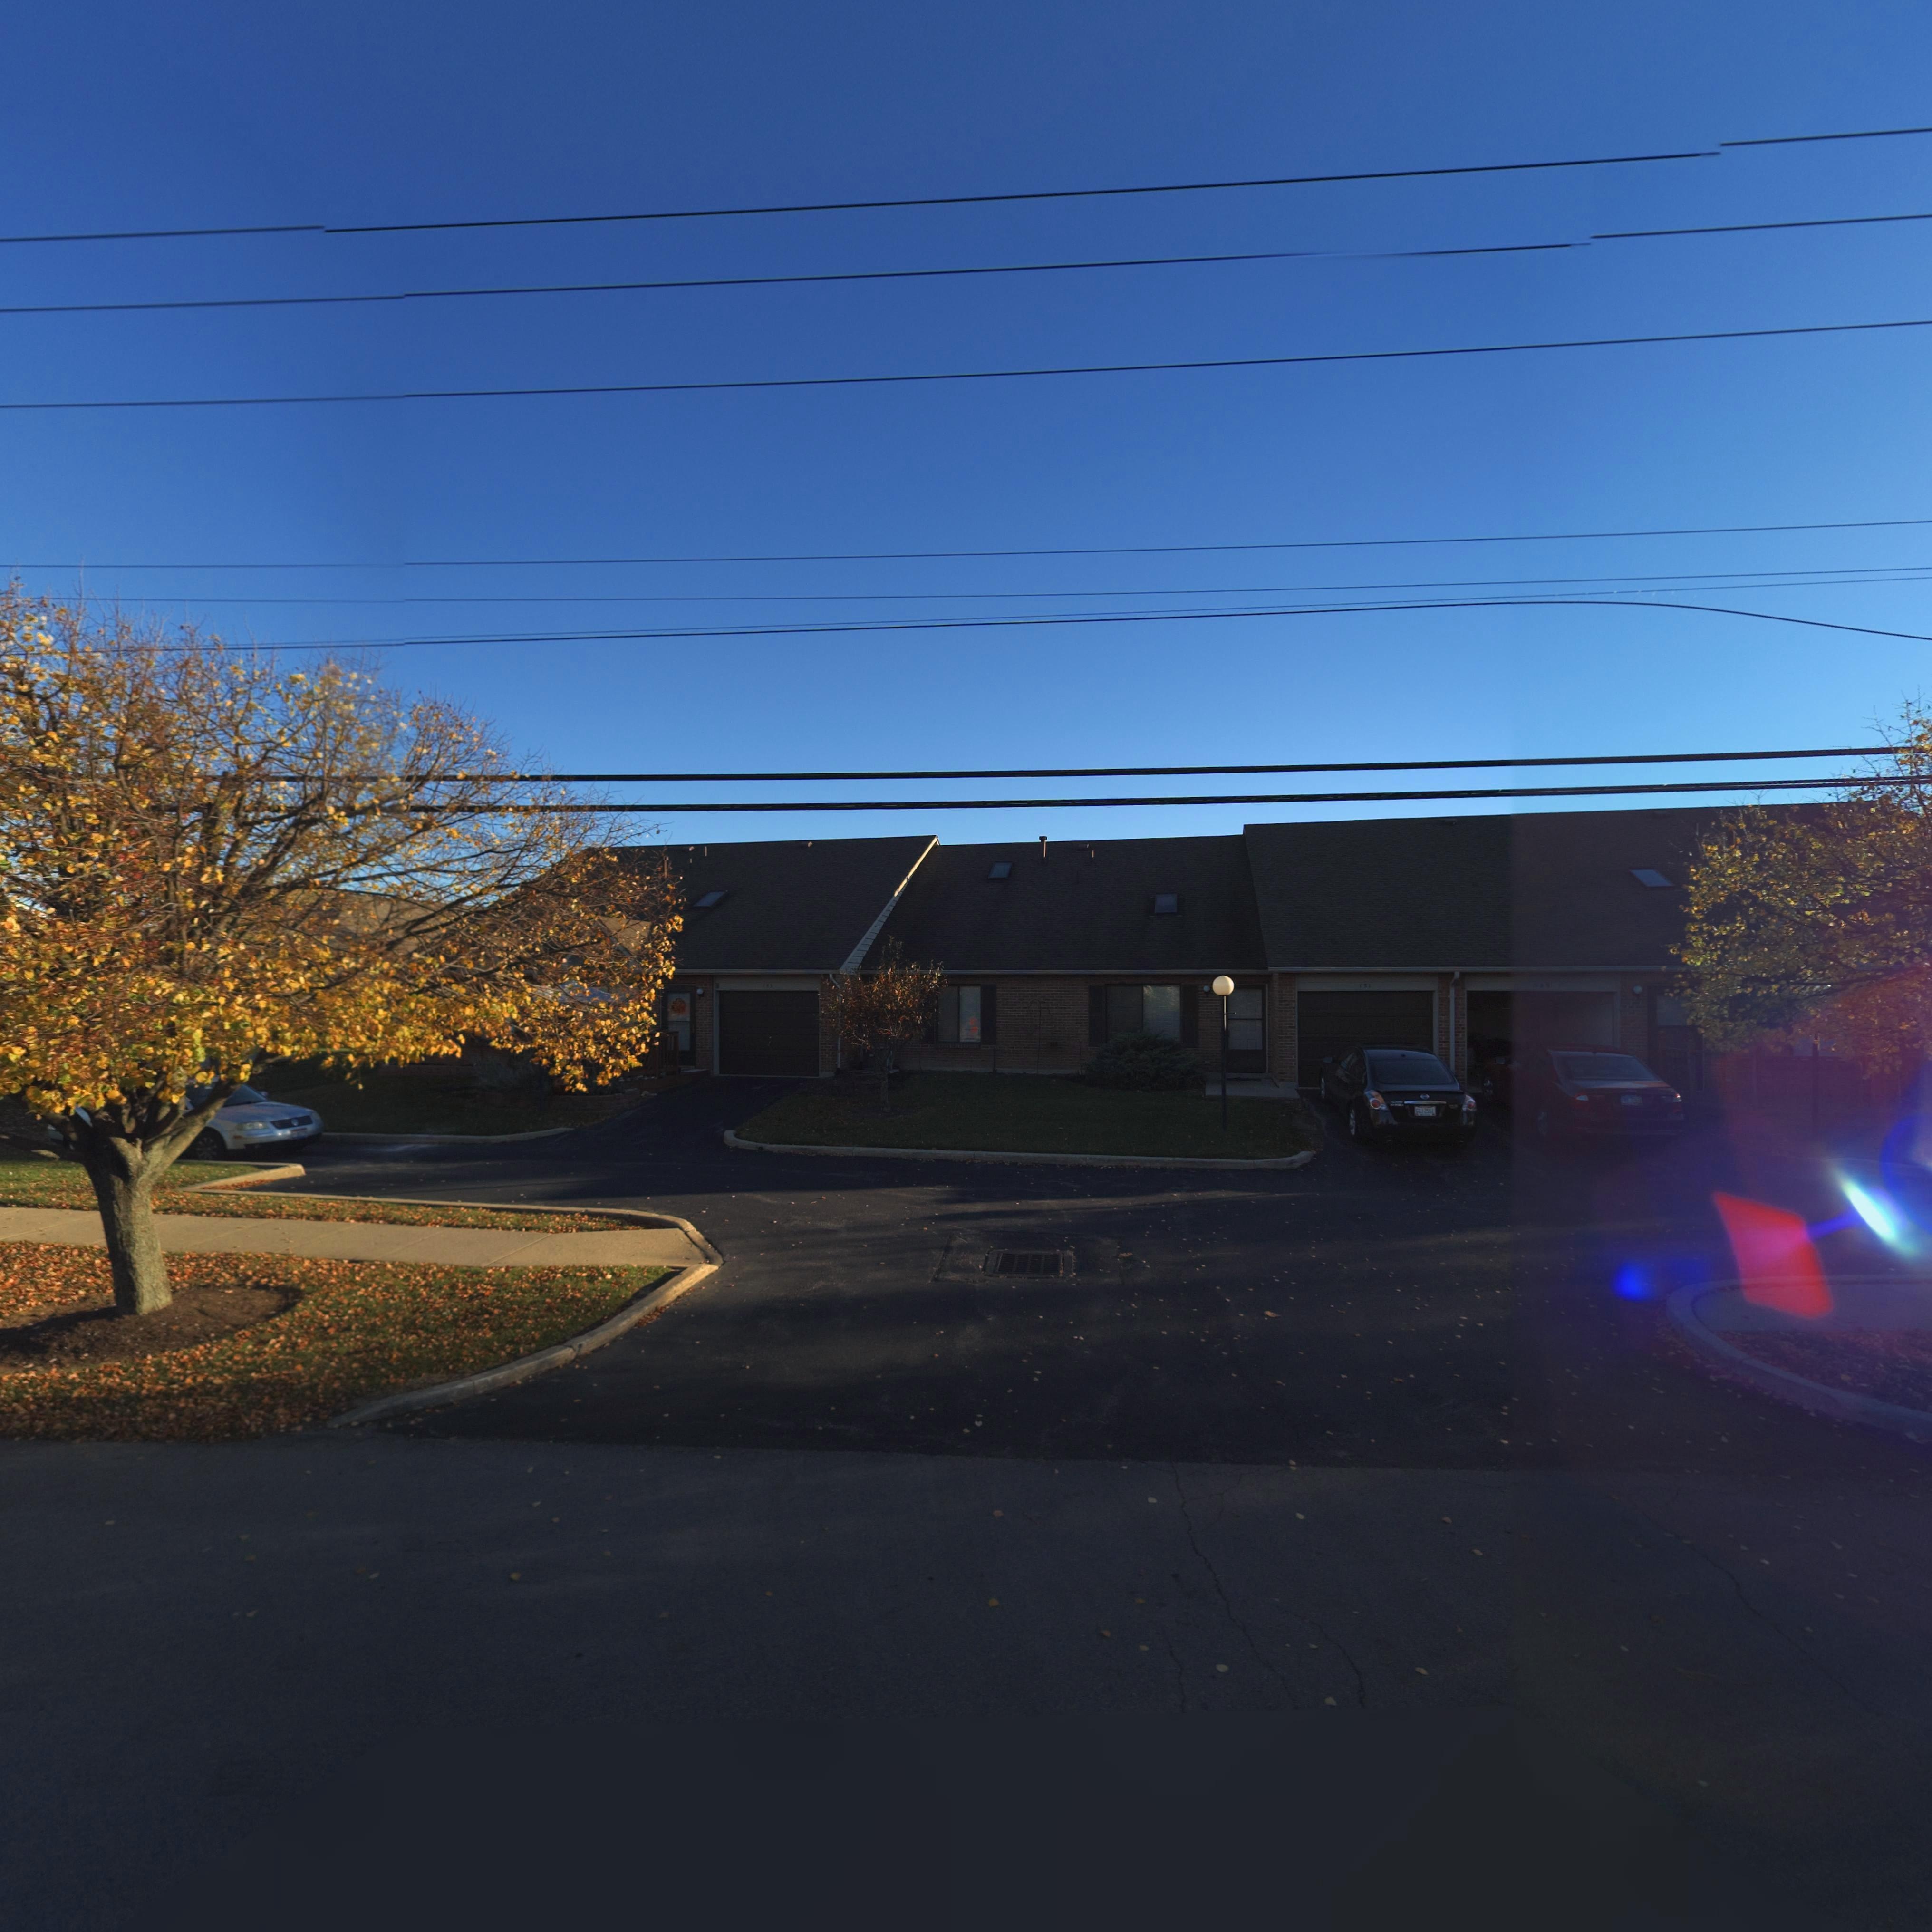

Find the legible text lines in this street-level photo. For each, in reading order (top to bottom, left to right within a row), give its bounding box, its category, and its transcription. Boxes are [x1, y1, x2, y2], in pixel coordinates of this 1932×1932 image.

[1358, 982, 1372, 990] StreetNumber: 151